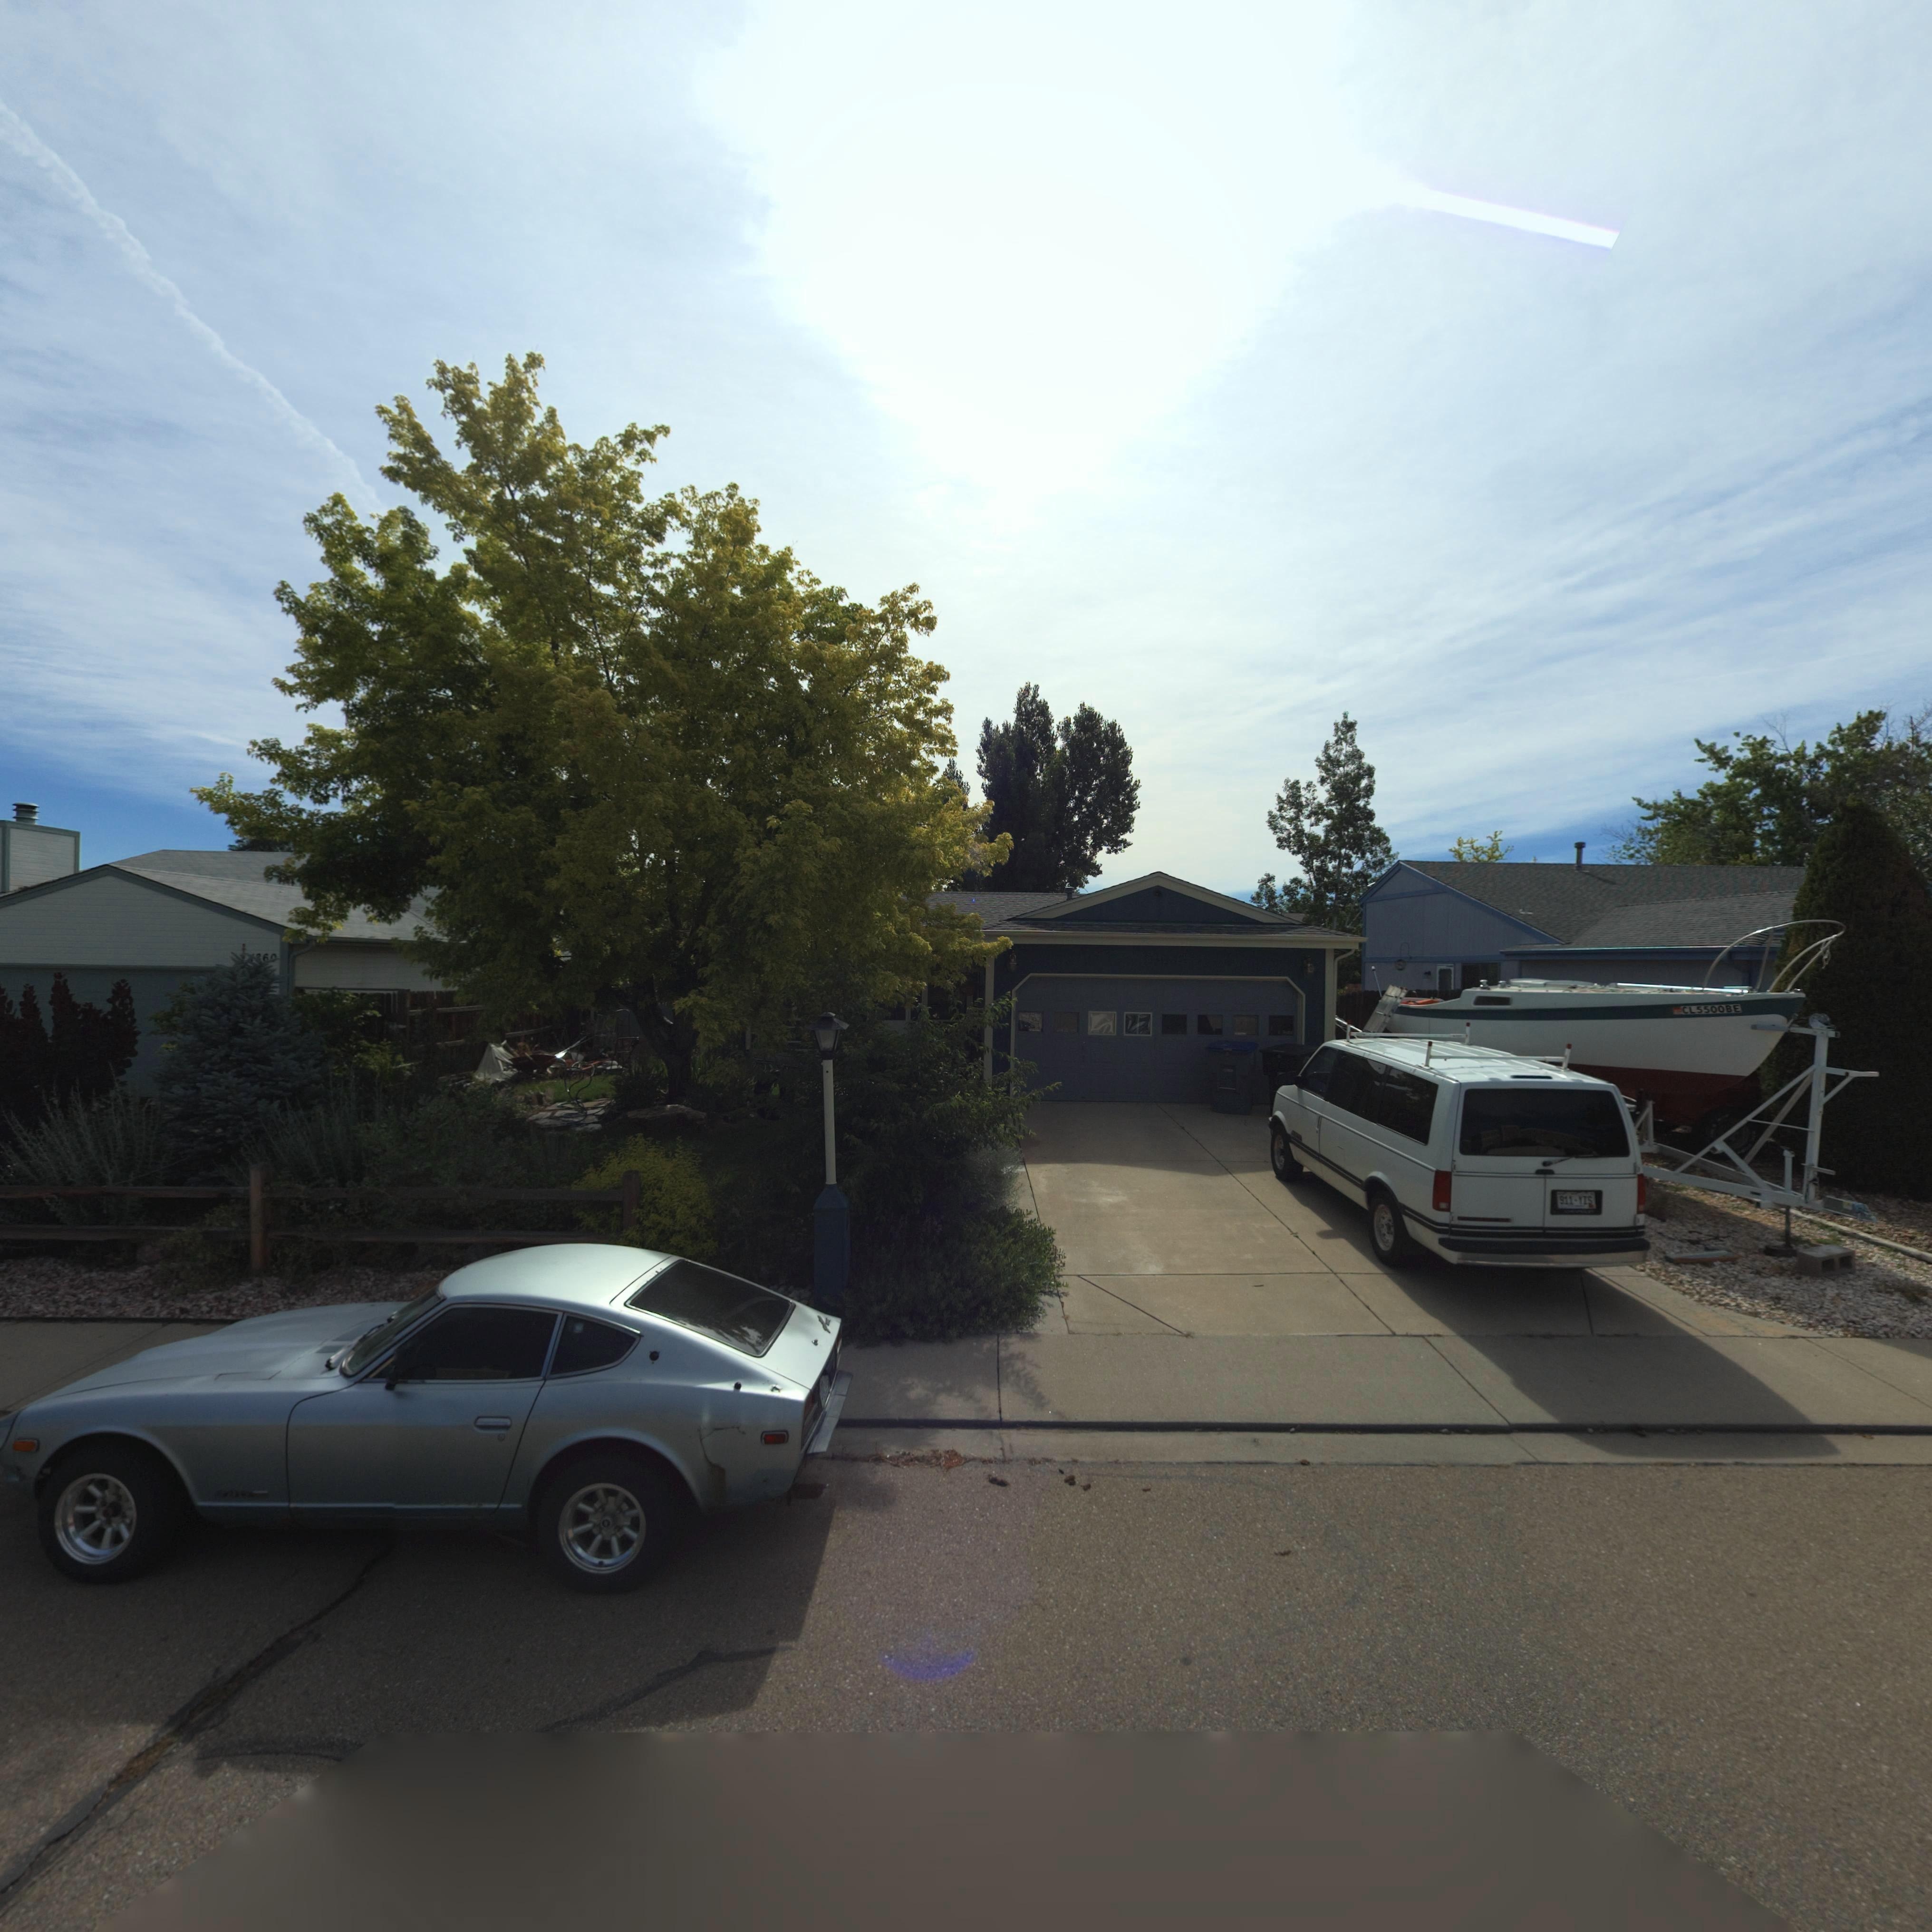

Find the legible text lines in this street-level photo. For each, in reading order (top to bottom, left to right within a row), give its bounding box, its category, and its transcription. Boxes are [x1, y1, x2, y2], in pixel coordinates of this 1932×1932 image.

[249, 952, 277, 963] StreetNumber: **6*